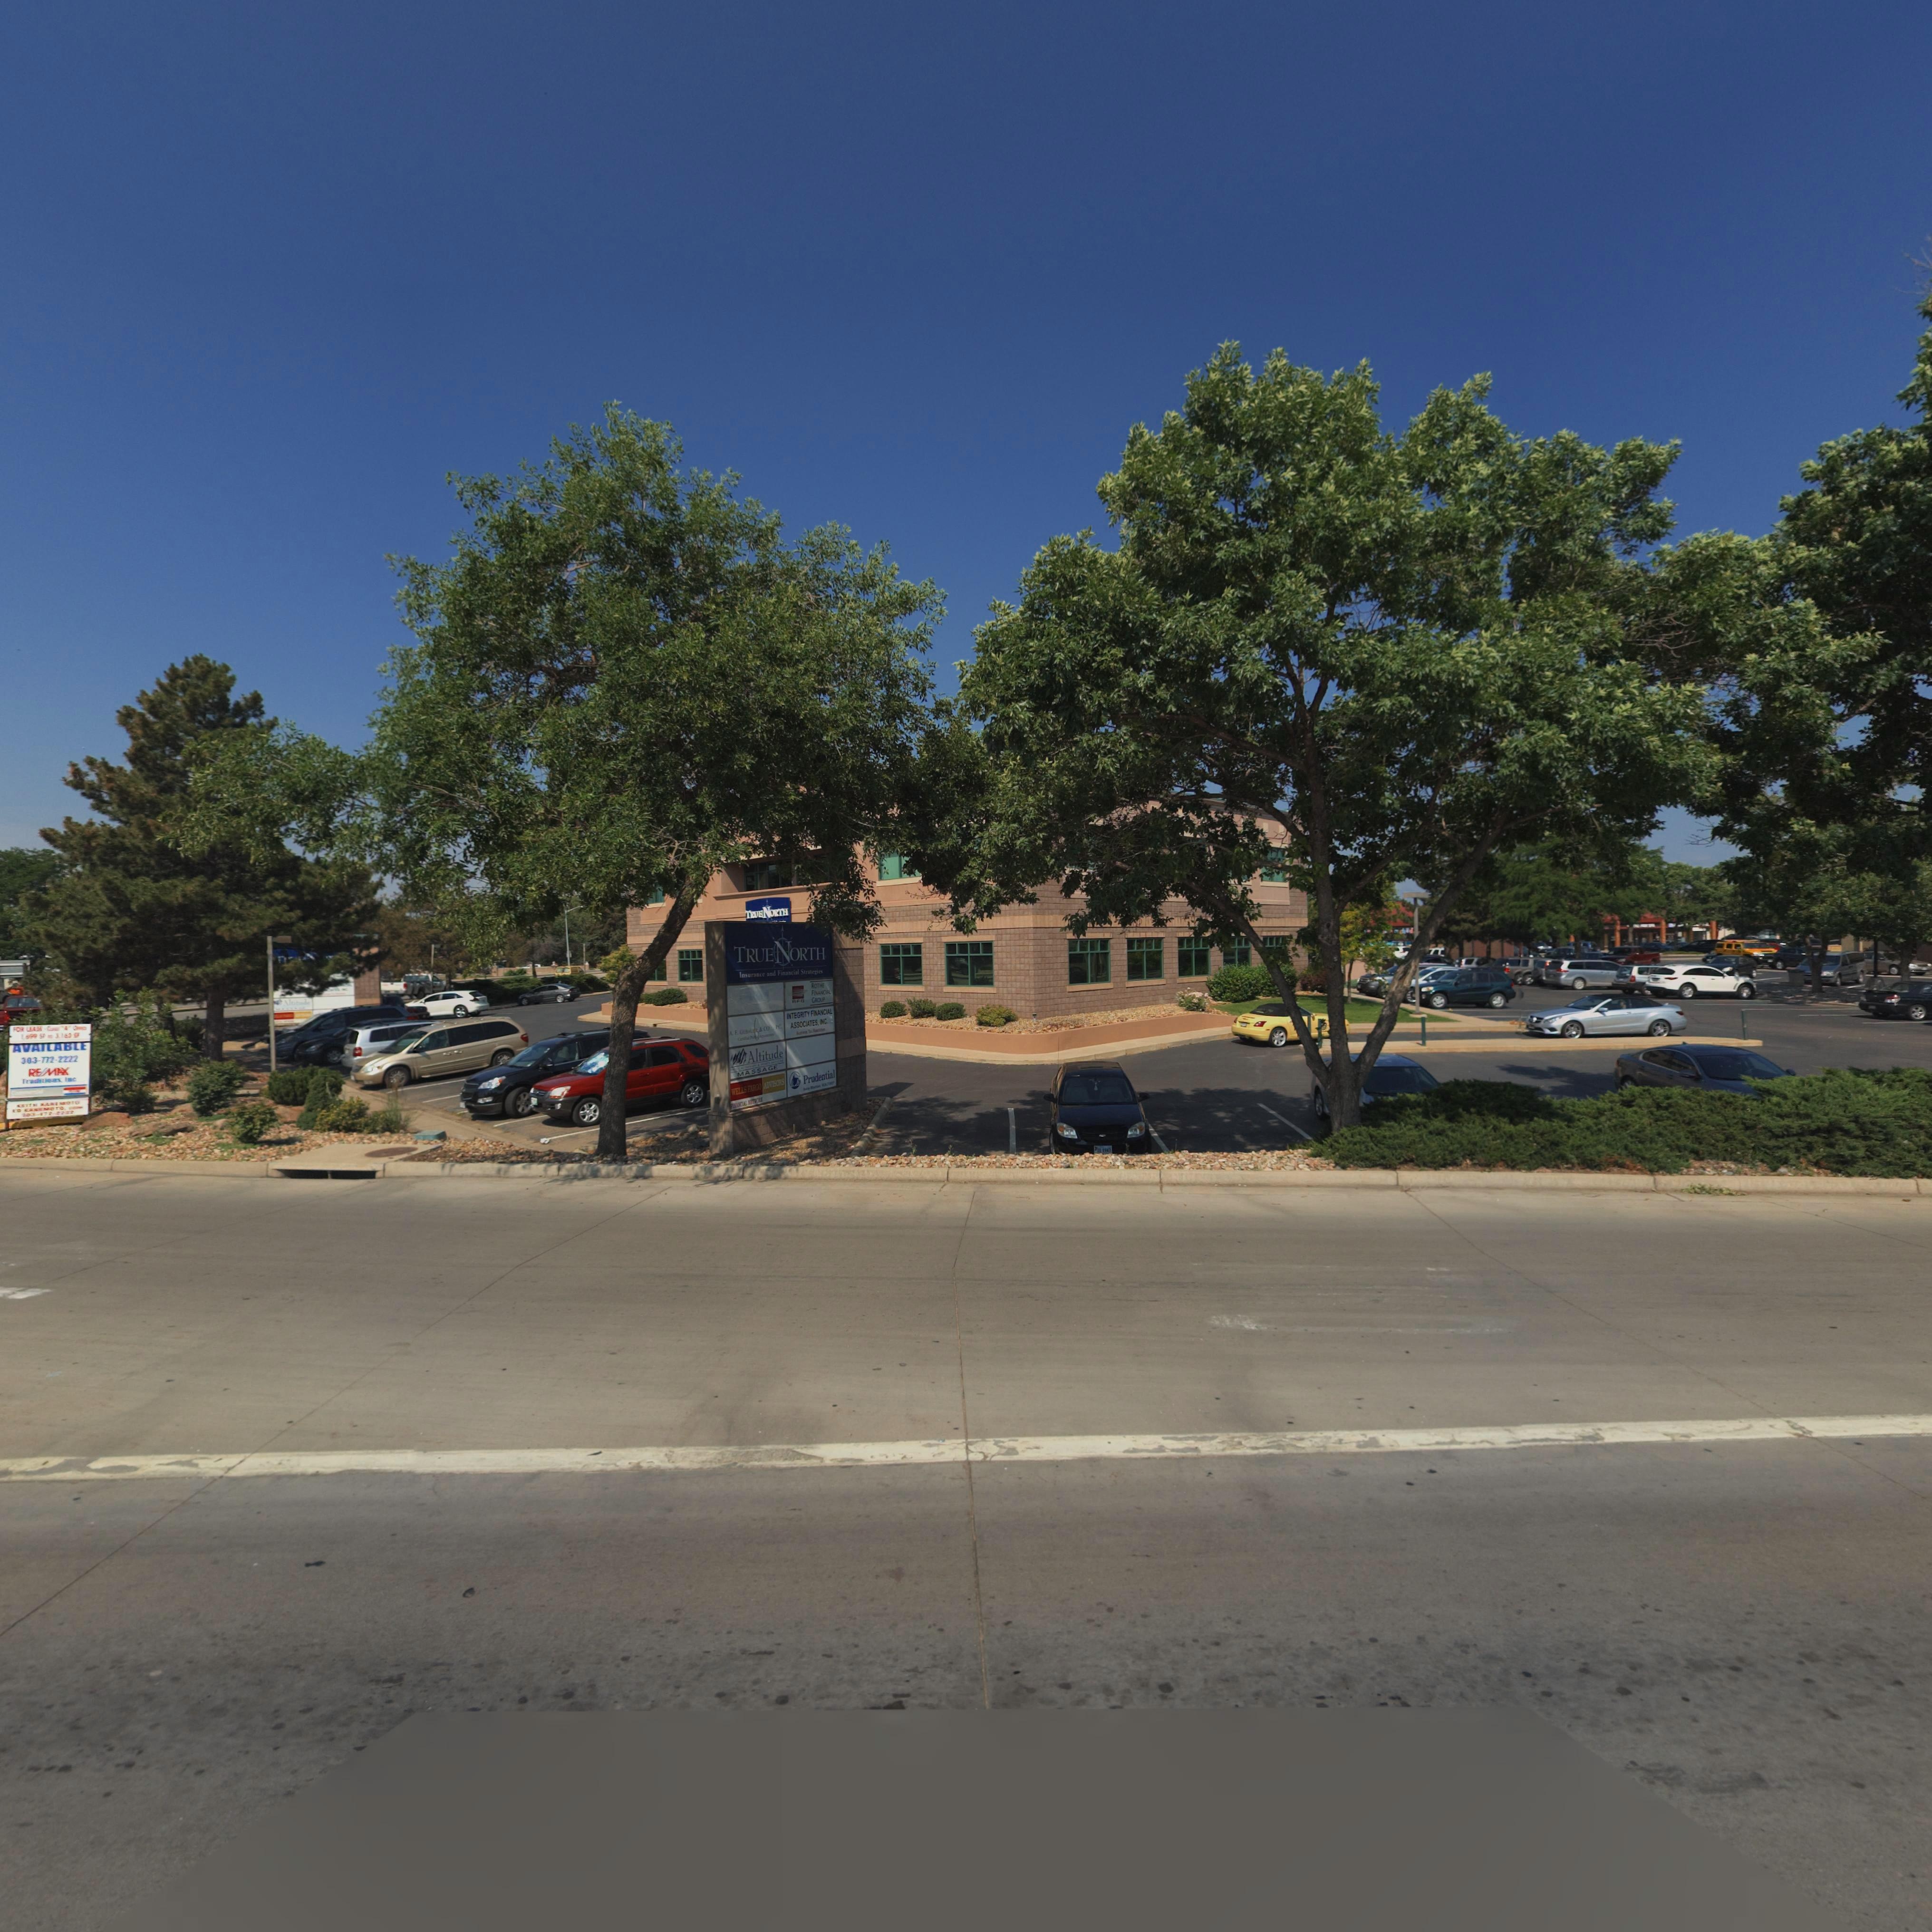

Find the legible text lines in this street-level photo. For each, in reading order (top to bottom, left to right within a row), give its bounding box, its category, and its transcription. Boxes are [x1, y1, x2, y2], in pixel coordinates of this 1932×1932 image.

[744, 906, 789, 919] BusinessName: TRUENORTH
[733, 940, 826, 964] BusinessName: TRUENORTH
[739, 968, 823, 978] BusinessName: Insurance and Financial Strategies
[811, 982, 824, 989] BusinessName: ROTHE
[811, 989, 832, 996] BusinessName: FINANCIAL
[281, 998, 310, 1006] BusinessName: Al****d*
[792, 998, 804, 1004] StreetNumber: AFG
[811, 996, 825, 1003] BusinessName: GROUP
[786, 1008, 833, 1020] BusinessName: INTEGRITY FINANCIAL
[790, 1018, 829, 1029] BusinessName: ASSOCIATES, INC.
[747, 1044, 783, 1064] BusinessName: Altitude
[737, 1064, 778, 1077] BusinessName: MASSAGE
[803, 1068, 835, 1085] BusinessName: Prudential
[731, 1082, 762, 1096] BusinessName: WELLS FARGO
[763, 1078, 784, 1090] BusinessName: ADVISORS